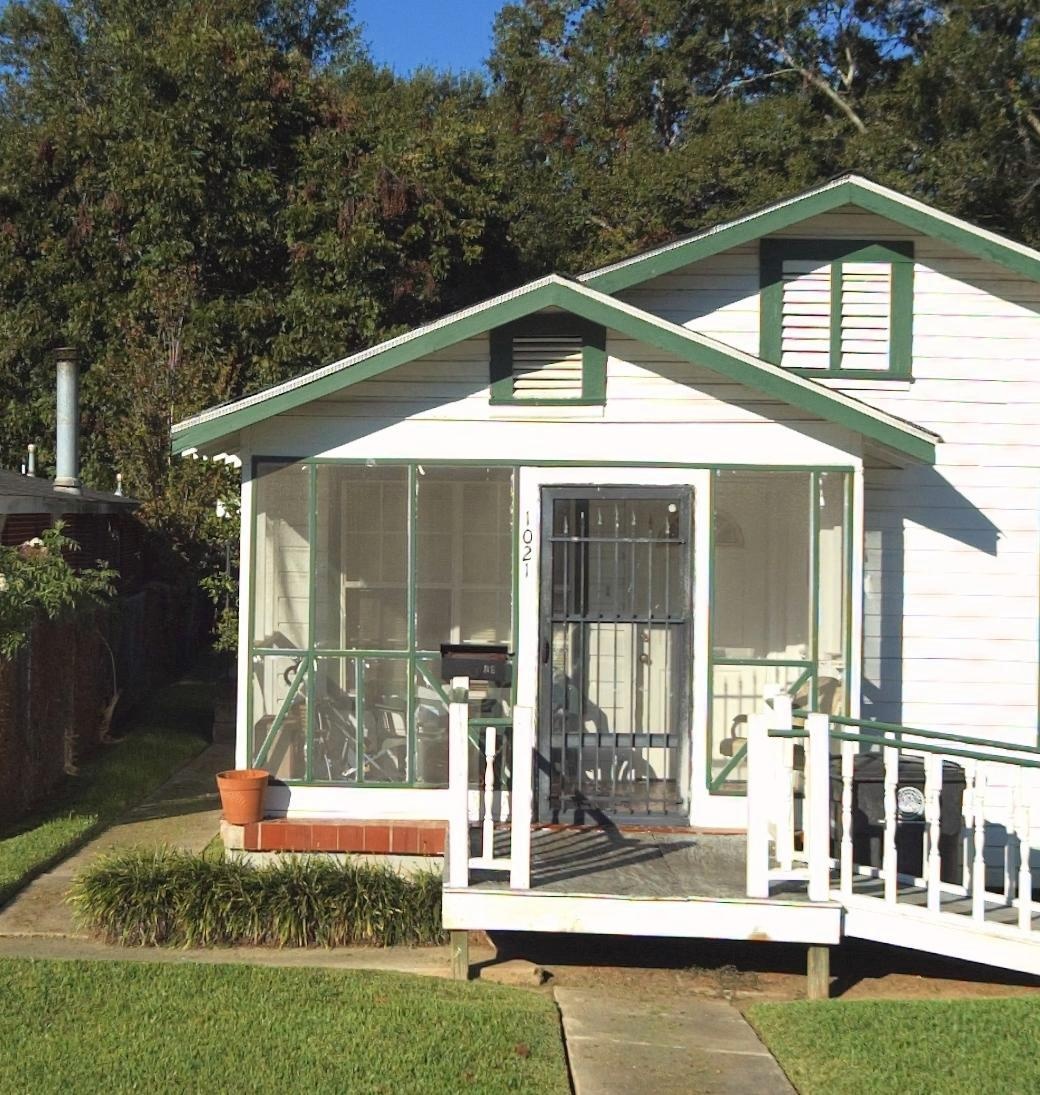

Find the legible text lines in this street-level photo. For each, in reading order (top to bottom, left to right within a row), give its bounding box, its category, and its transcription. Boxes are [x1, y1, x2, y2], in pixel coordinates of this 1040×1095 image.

[520, 509, 534, 581] StreetNumber: 1021